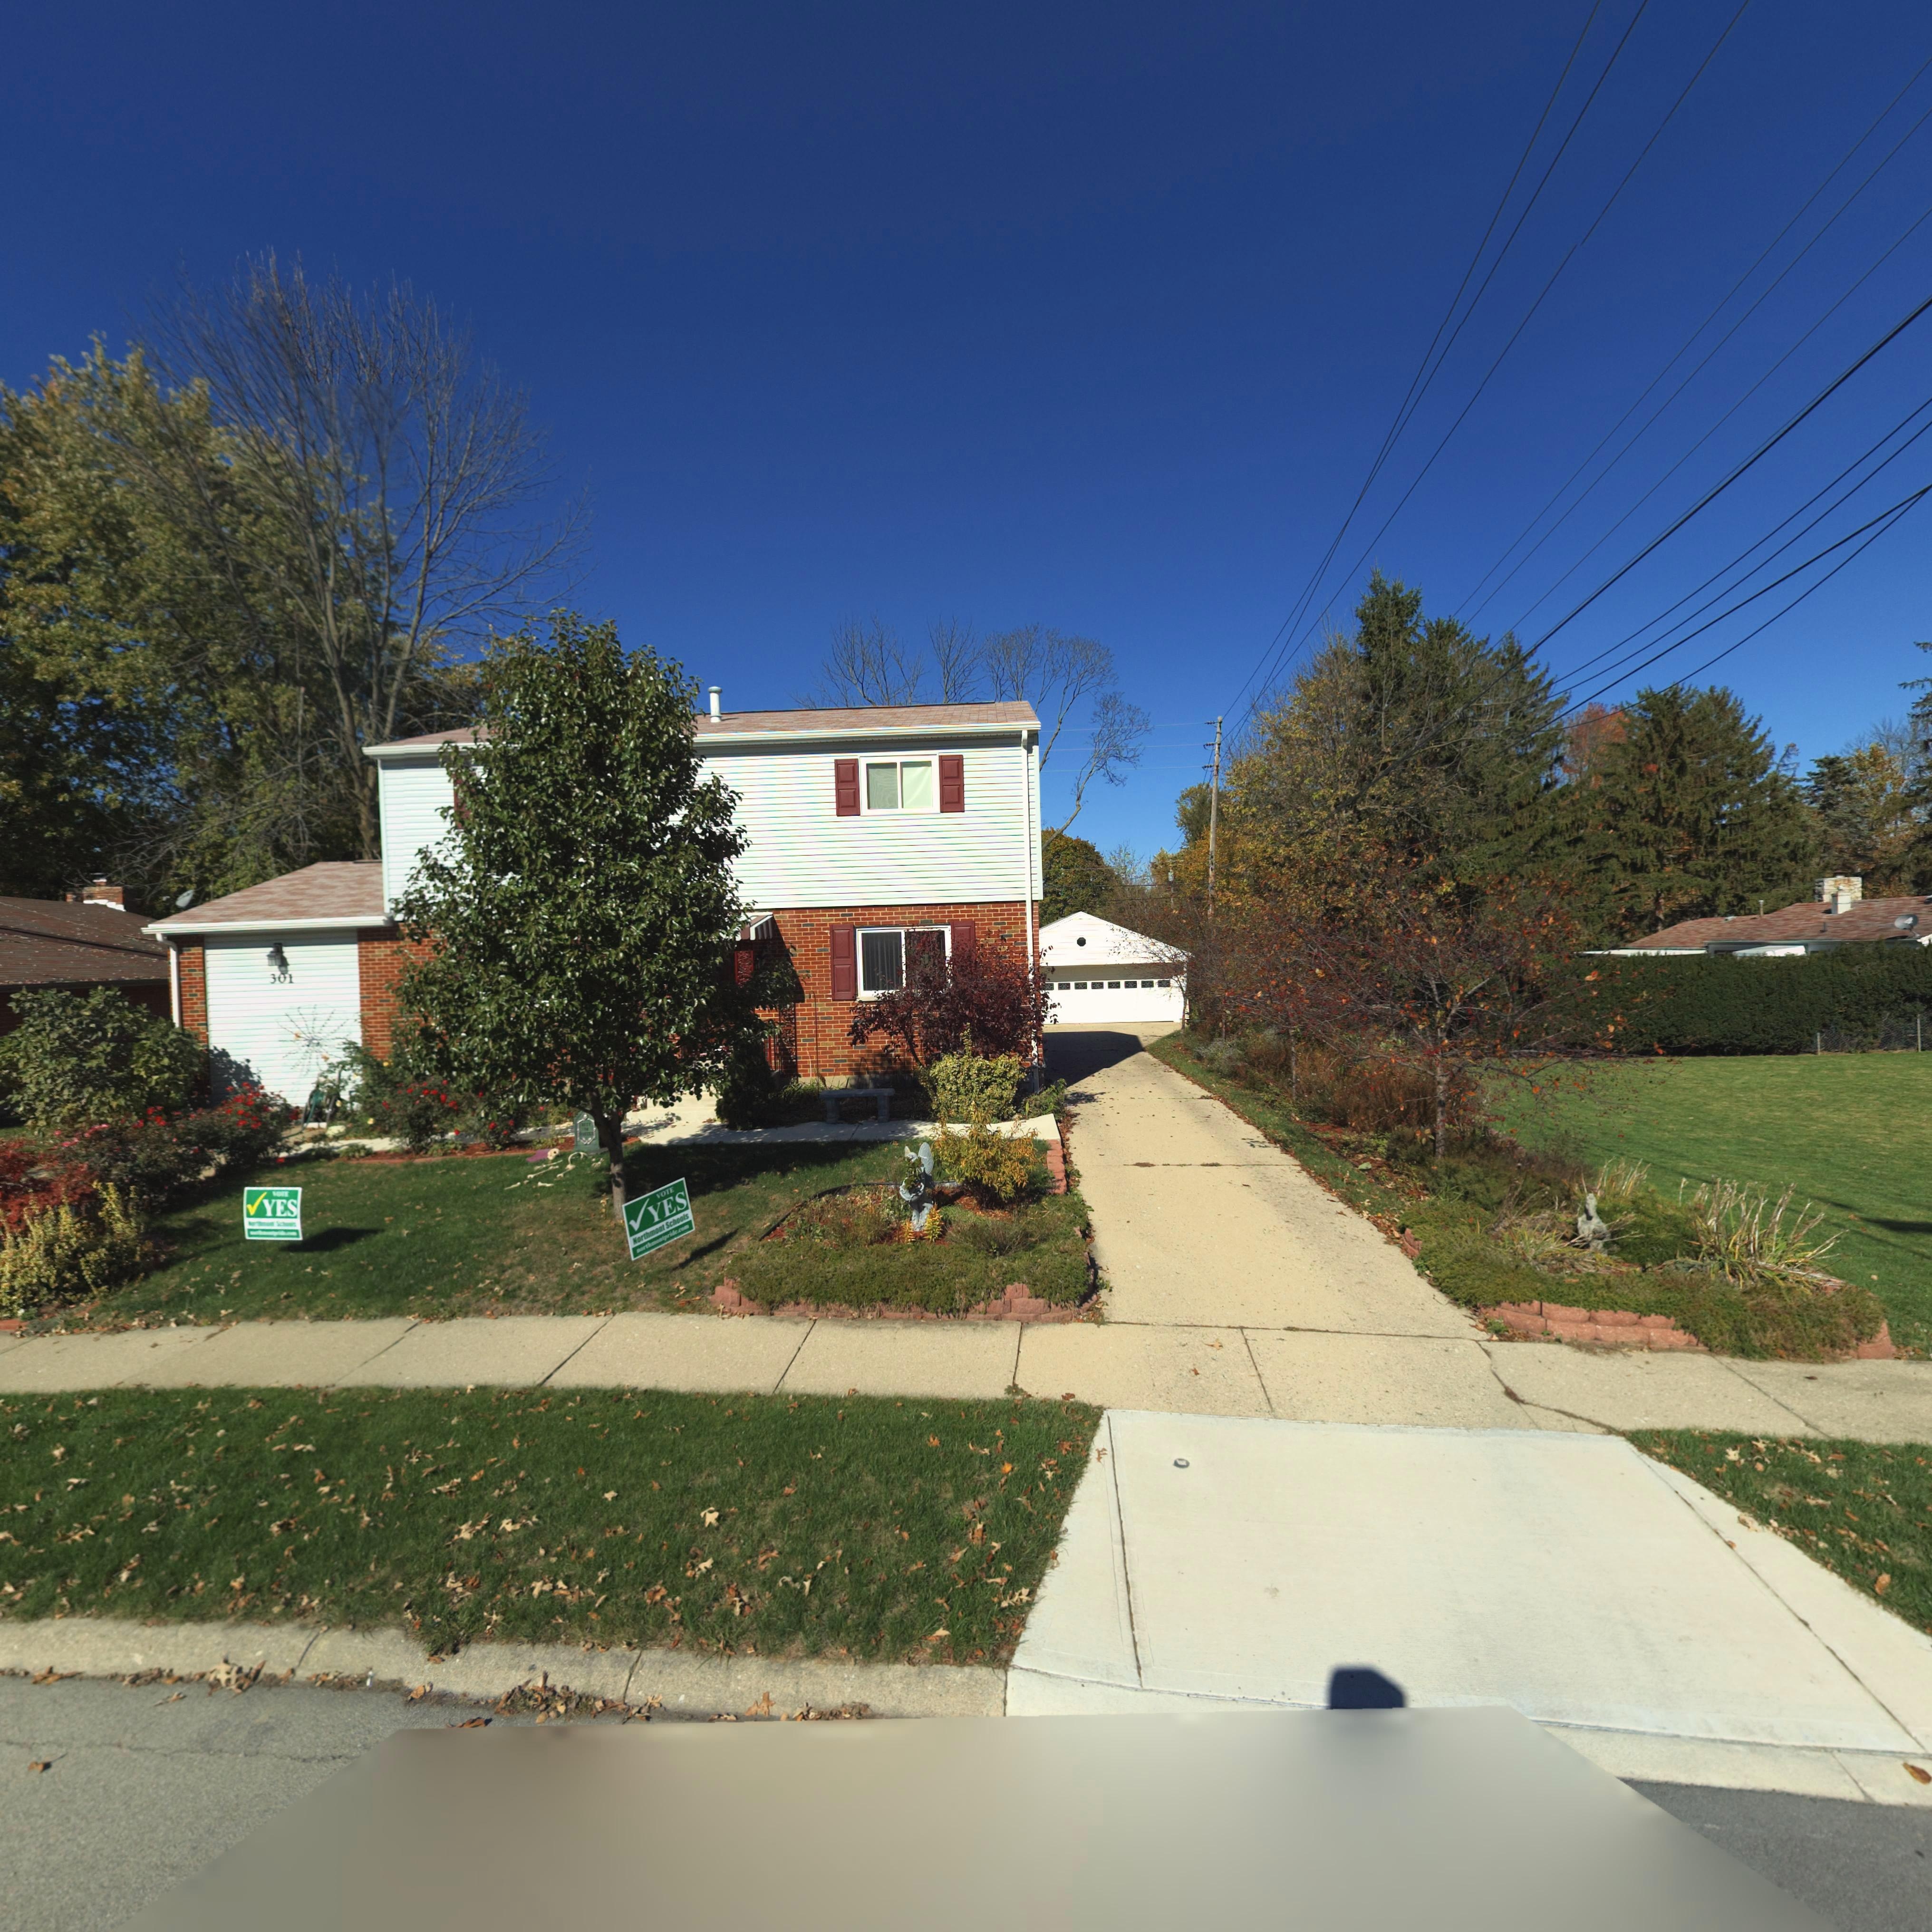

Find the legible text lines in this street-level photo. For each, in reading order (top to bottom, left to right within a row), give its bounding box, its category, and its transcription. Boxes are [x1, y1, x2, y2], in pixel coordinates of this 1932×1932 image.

[269, 972, 294, 984] StreetNumber: 301